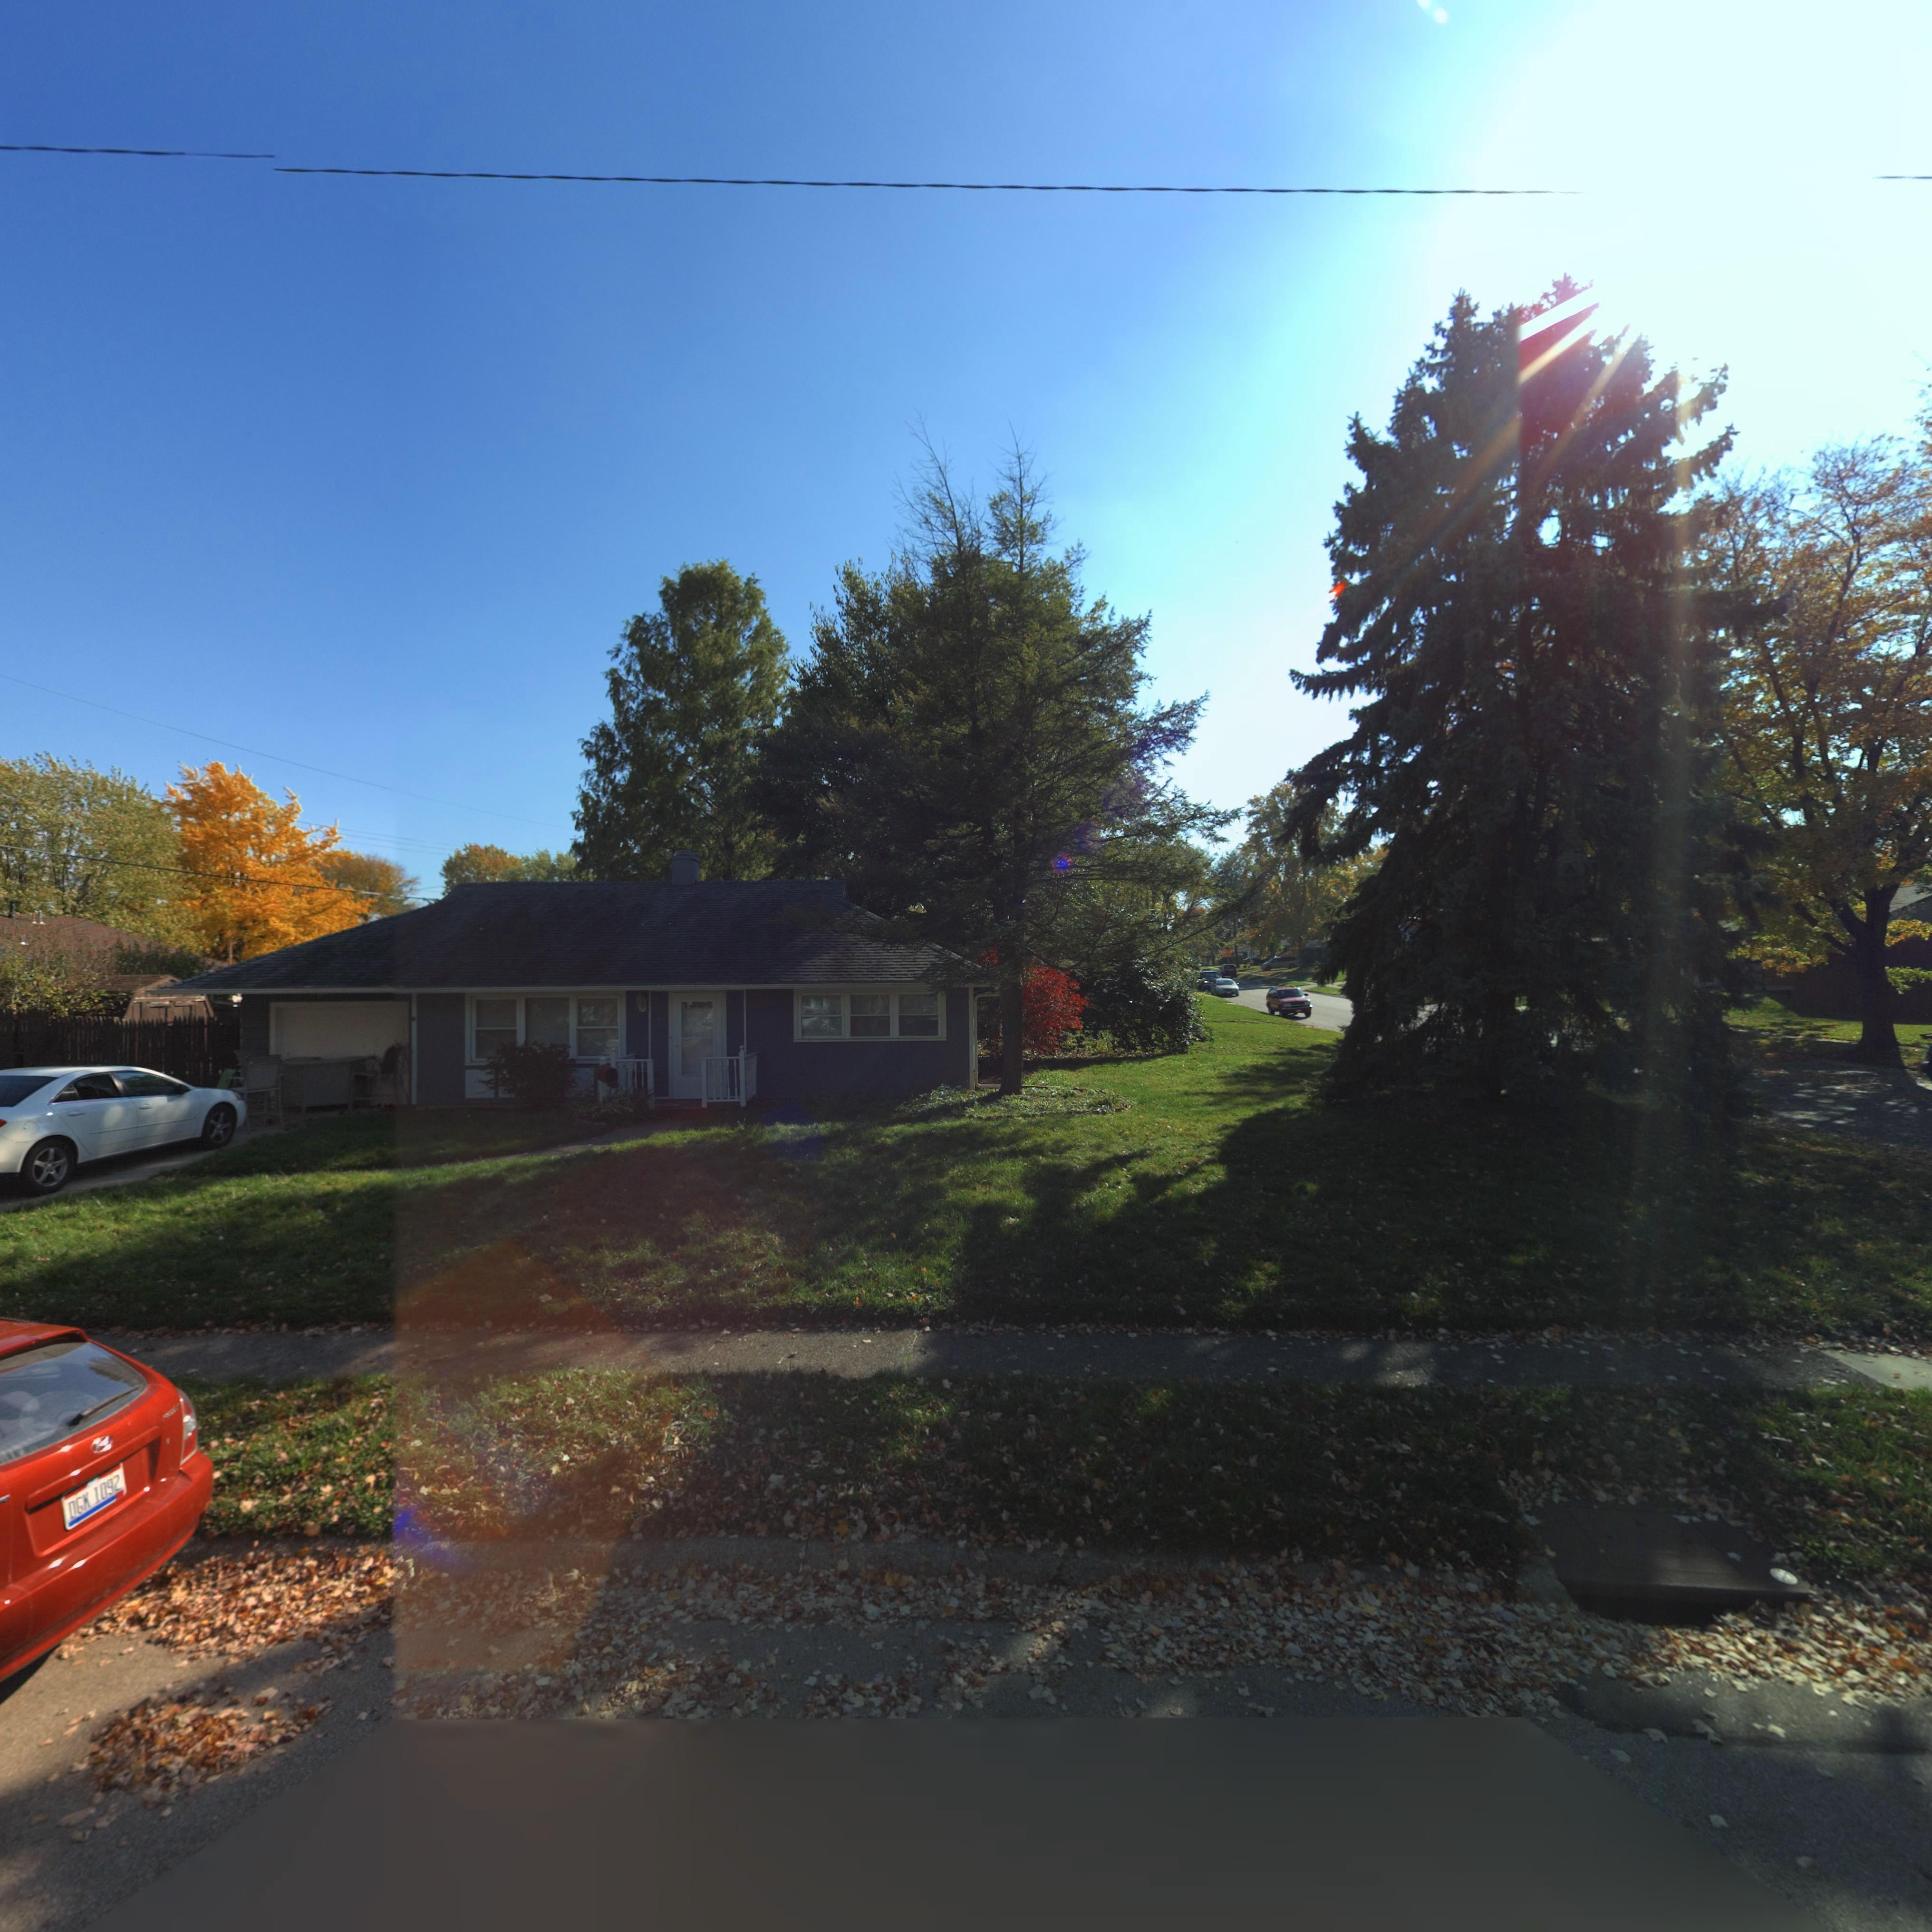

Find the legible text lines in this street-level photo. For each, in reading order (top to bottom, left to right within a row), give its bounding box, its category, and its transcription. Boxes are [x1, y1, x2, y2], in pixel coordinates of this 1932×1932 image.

[67, 1473, 124, 1520] None: DGK 1092